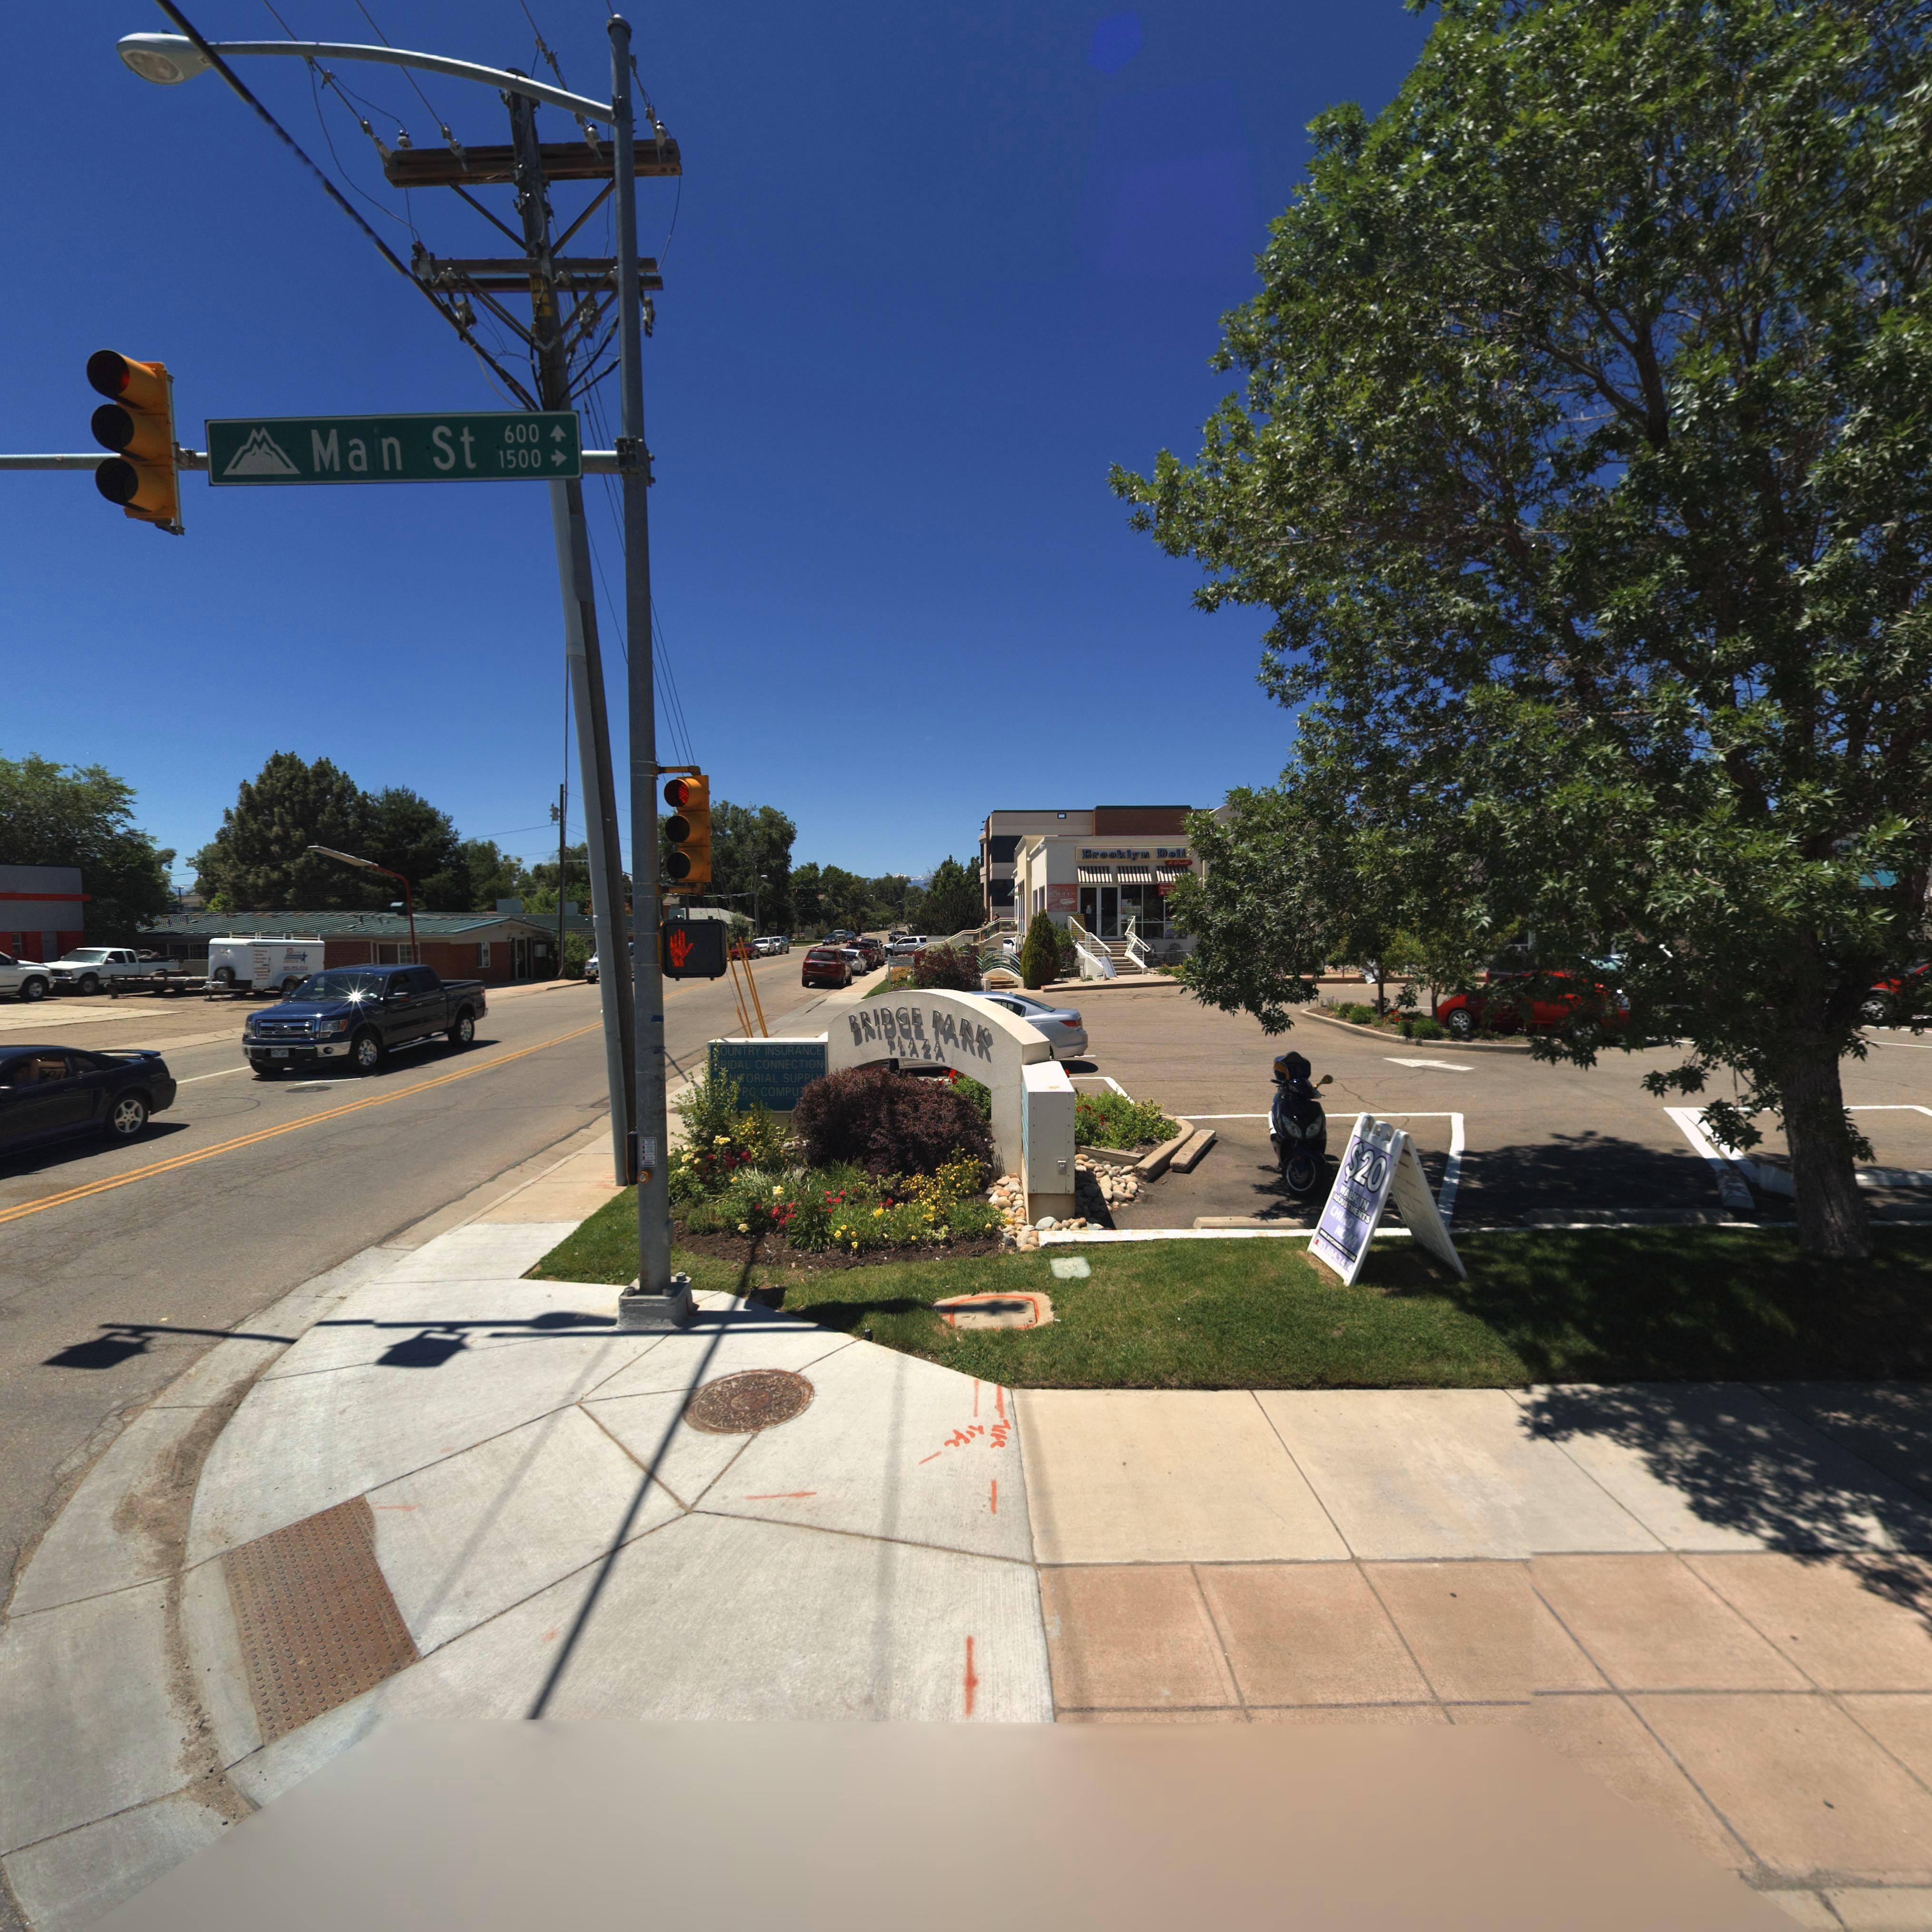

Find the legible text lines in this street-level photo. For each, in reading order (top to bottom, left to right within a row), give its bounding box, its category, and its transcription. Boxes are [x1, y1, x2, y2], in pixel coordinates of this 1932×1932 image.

[503, 422, 541, 444] StreetNumberRange: 600
[310, 425, 476, 472] BusinessName: Main St
[499, 448, 569, 469] StreetNumber: 1500->
[1082, 848, 1188, 861] BusinessName: Brooklyn Deli
[1166, 860, 1190, 864] BusinessName: & Grill
[713, 1045, 823, 1058] BusinessName: *OUNTY INSURANCE
[712, 1058, 825, 1070] BusinessName: *RIDAL CONNECTION
[715, 1073, 822, 1083] BusinessName: **N**ORIAL SUPPL*
[742, 1086, 819, 1096] BusinessName: PG COMPU***